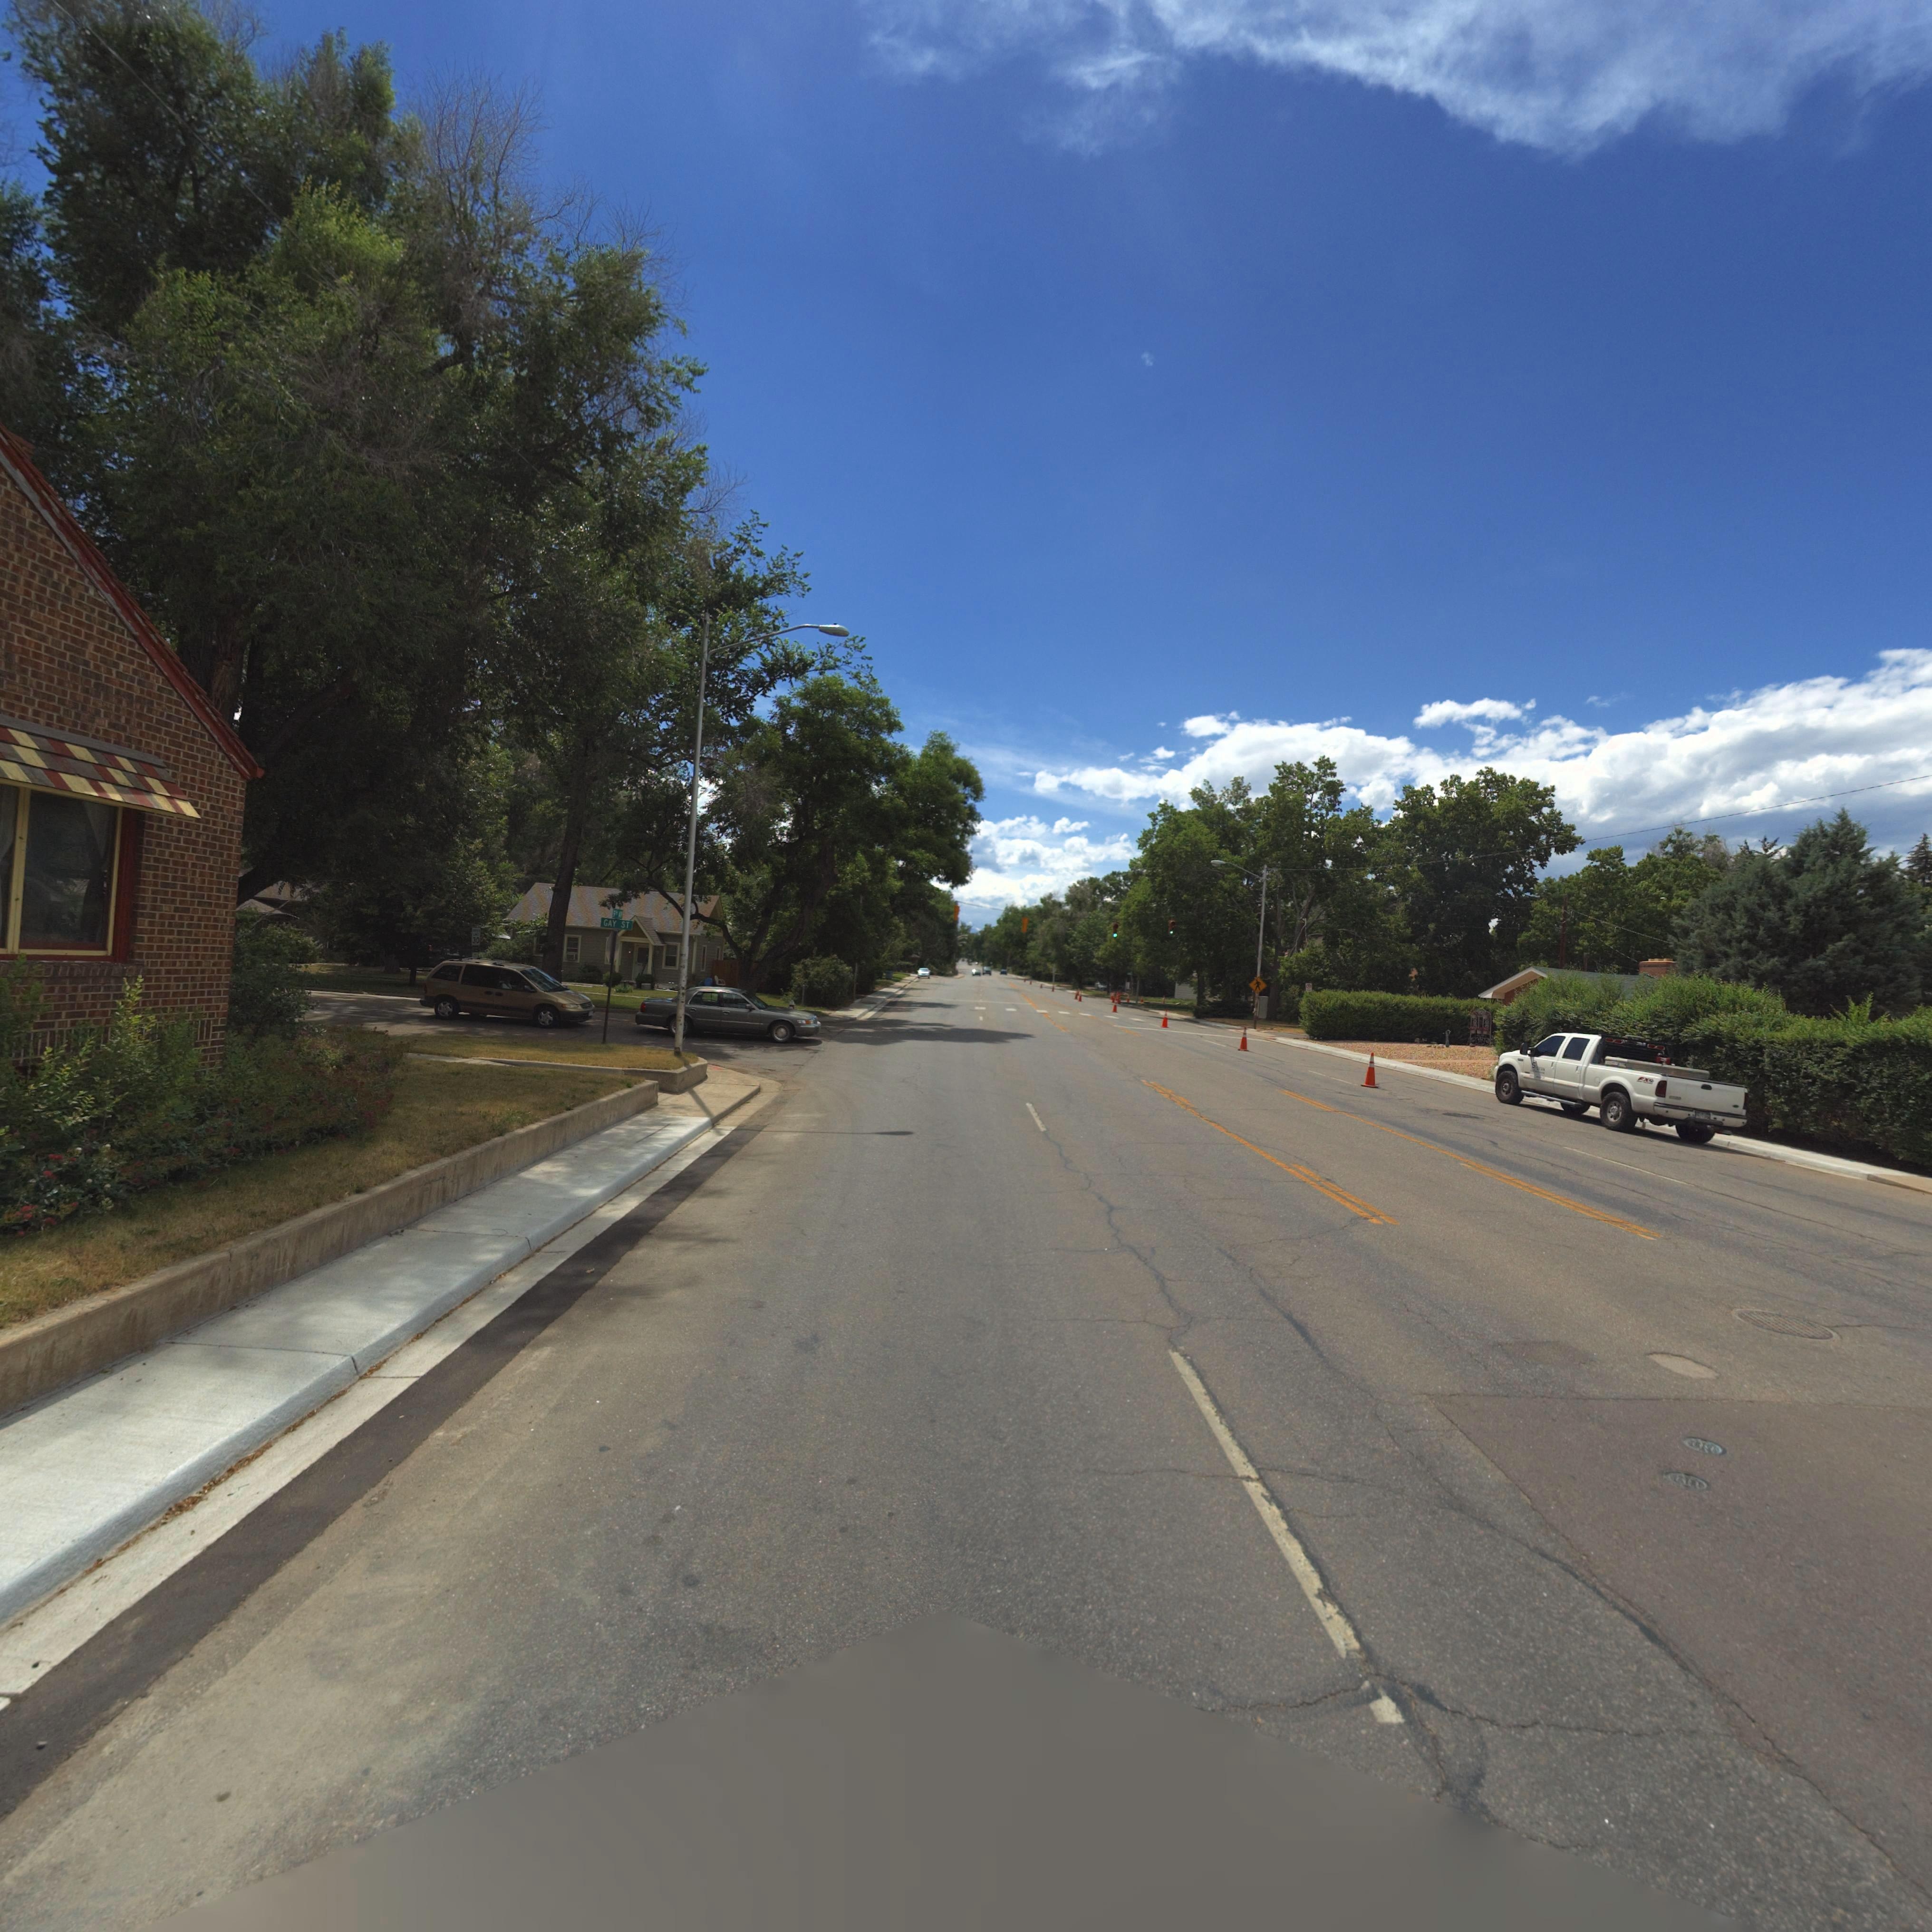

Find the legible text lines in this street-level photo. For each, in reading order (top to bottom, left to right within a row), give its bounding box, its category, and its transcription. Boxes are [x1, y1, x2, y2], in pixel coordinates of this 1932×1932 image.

[612, 910, 623, 918] StreetName: 9** AV
[603, 918, 630, 929] StreetName: GAY ST